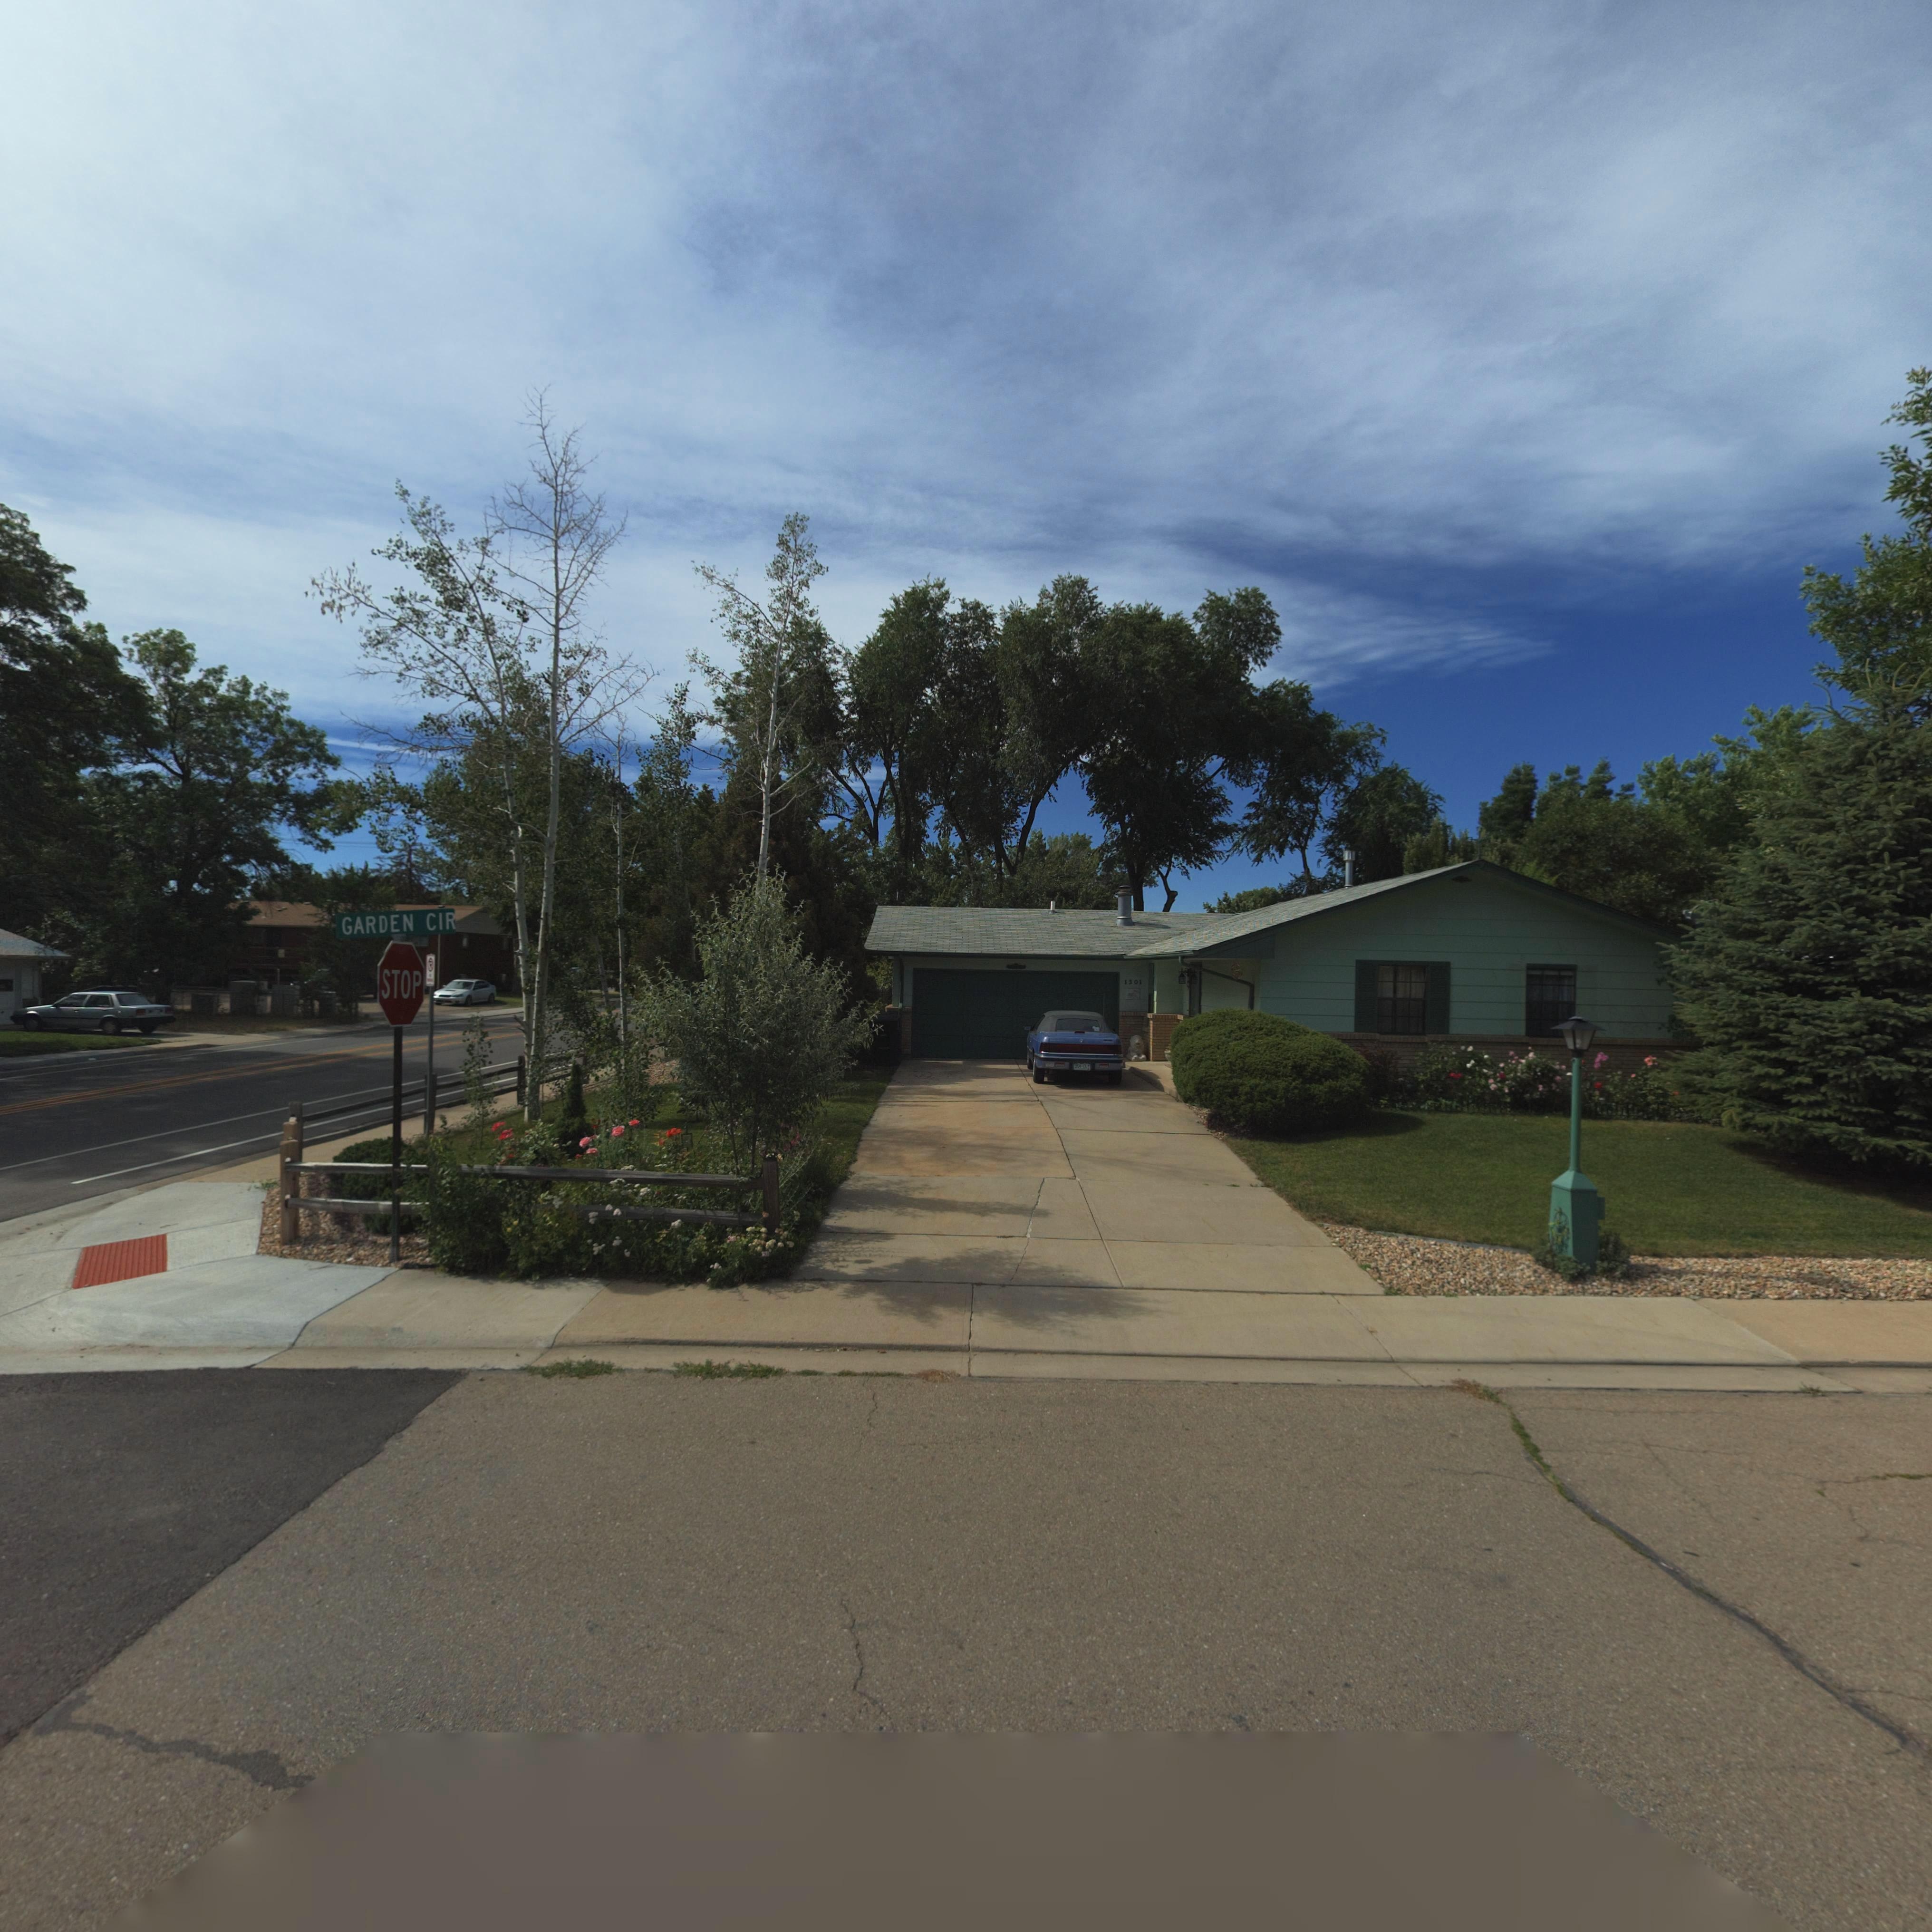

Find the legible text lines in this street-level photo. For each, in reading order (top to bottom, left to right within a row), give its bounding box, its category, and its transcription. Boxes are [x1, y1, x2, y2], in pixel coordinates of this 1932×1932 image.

[341, 911, 457, 935] StreetName: GARDEN CIR
[1124, 979, 1142, 985] StreetNumber: 1301